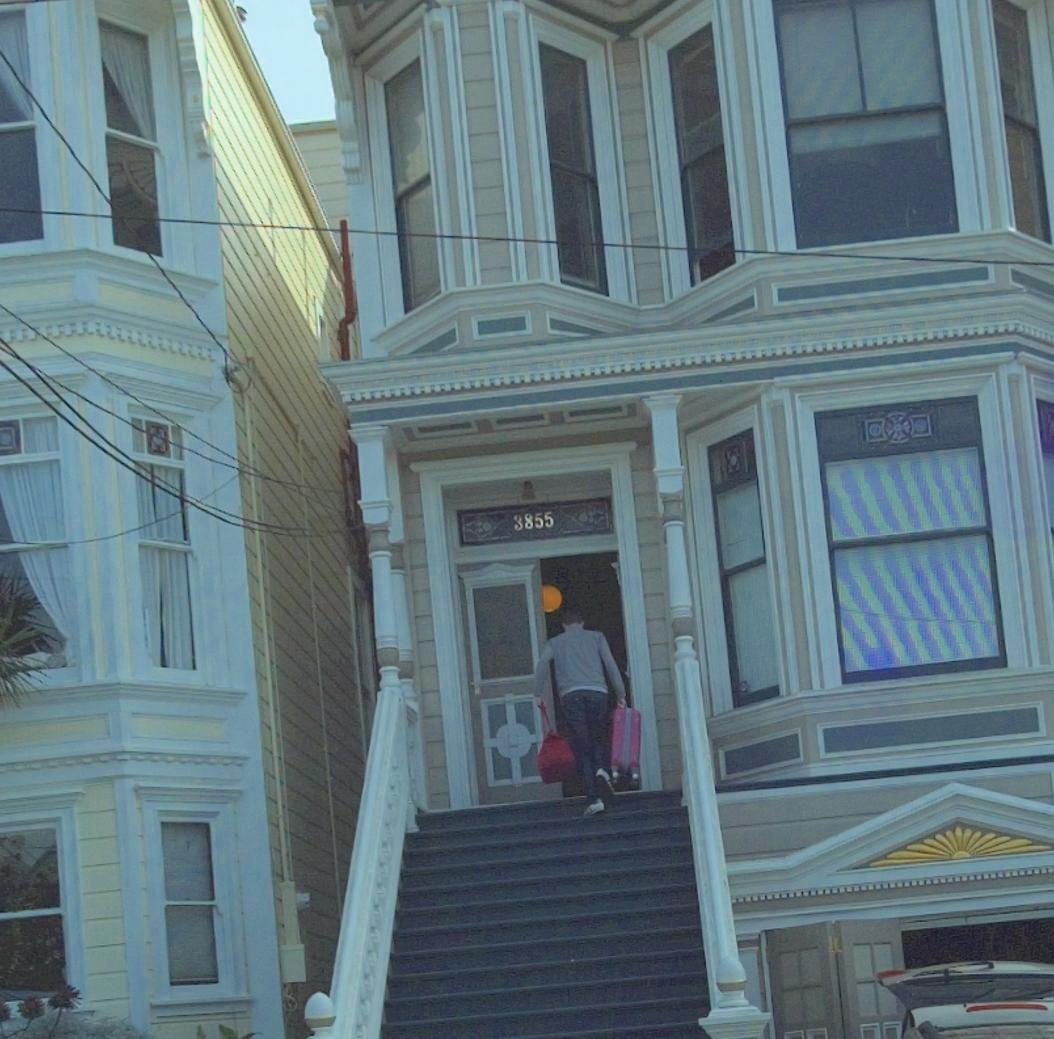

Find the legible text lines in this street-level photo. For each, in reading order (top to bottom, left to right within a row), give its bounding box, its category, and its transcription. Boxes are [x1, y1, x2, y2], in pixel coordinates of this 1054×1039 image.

[513, 510, 554, 531] StreetNumber: 3855